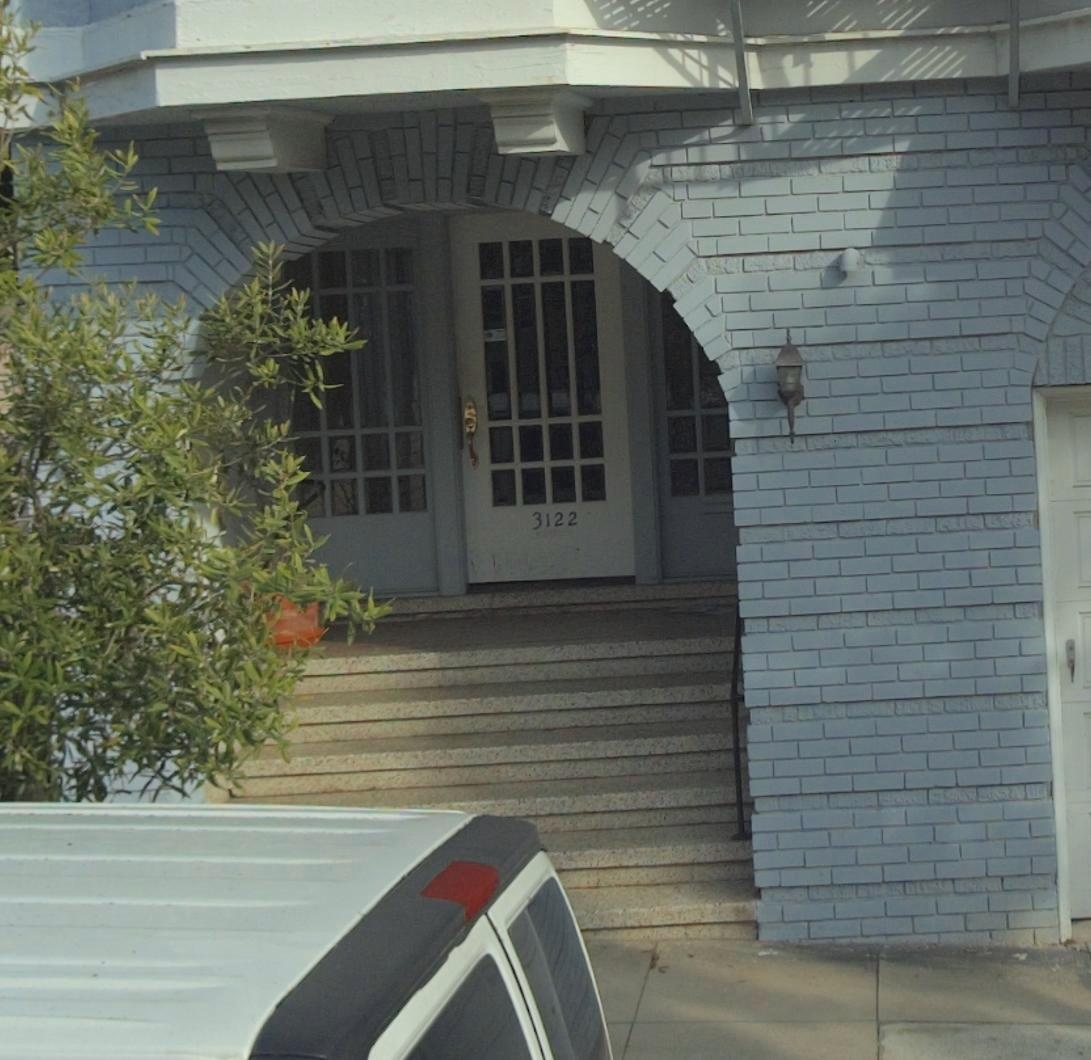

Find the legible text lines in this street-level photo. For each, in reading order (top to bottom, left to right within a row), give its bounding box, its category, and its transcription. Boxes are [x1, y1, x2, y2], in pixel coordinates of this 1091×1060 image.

[529, 508, 579, 532] StreetNumber: 3122